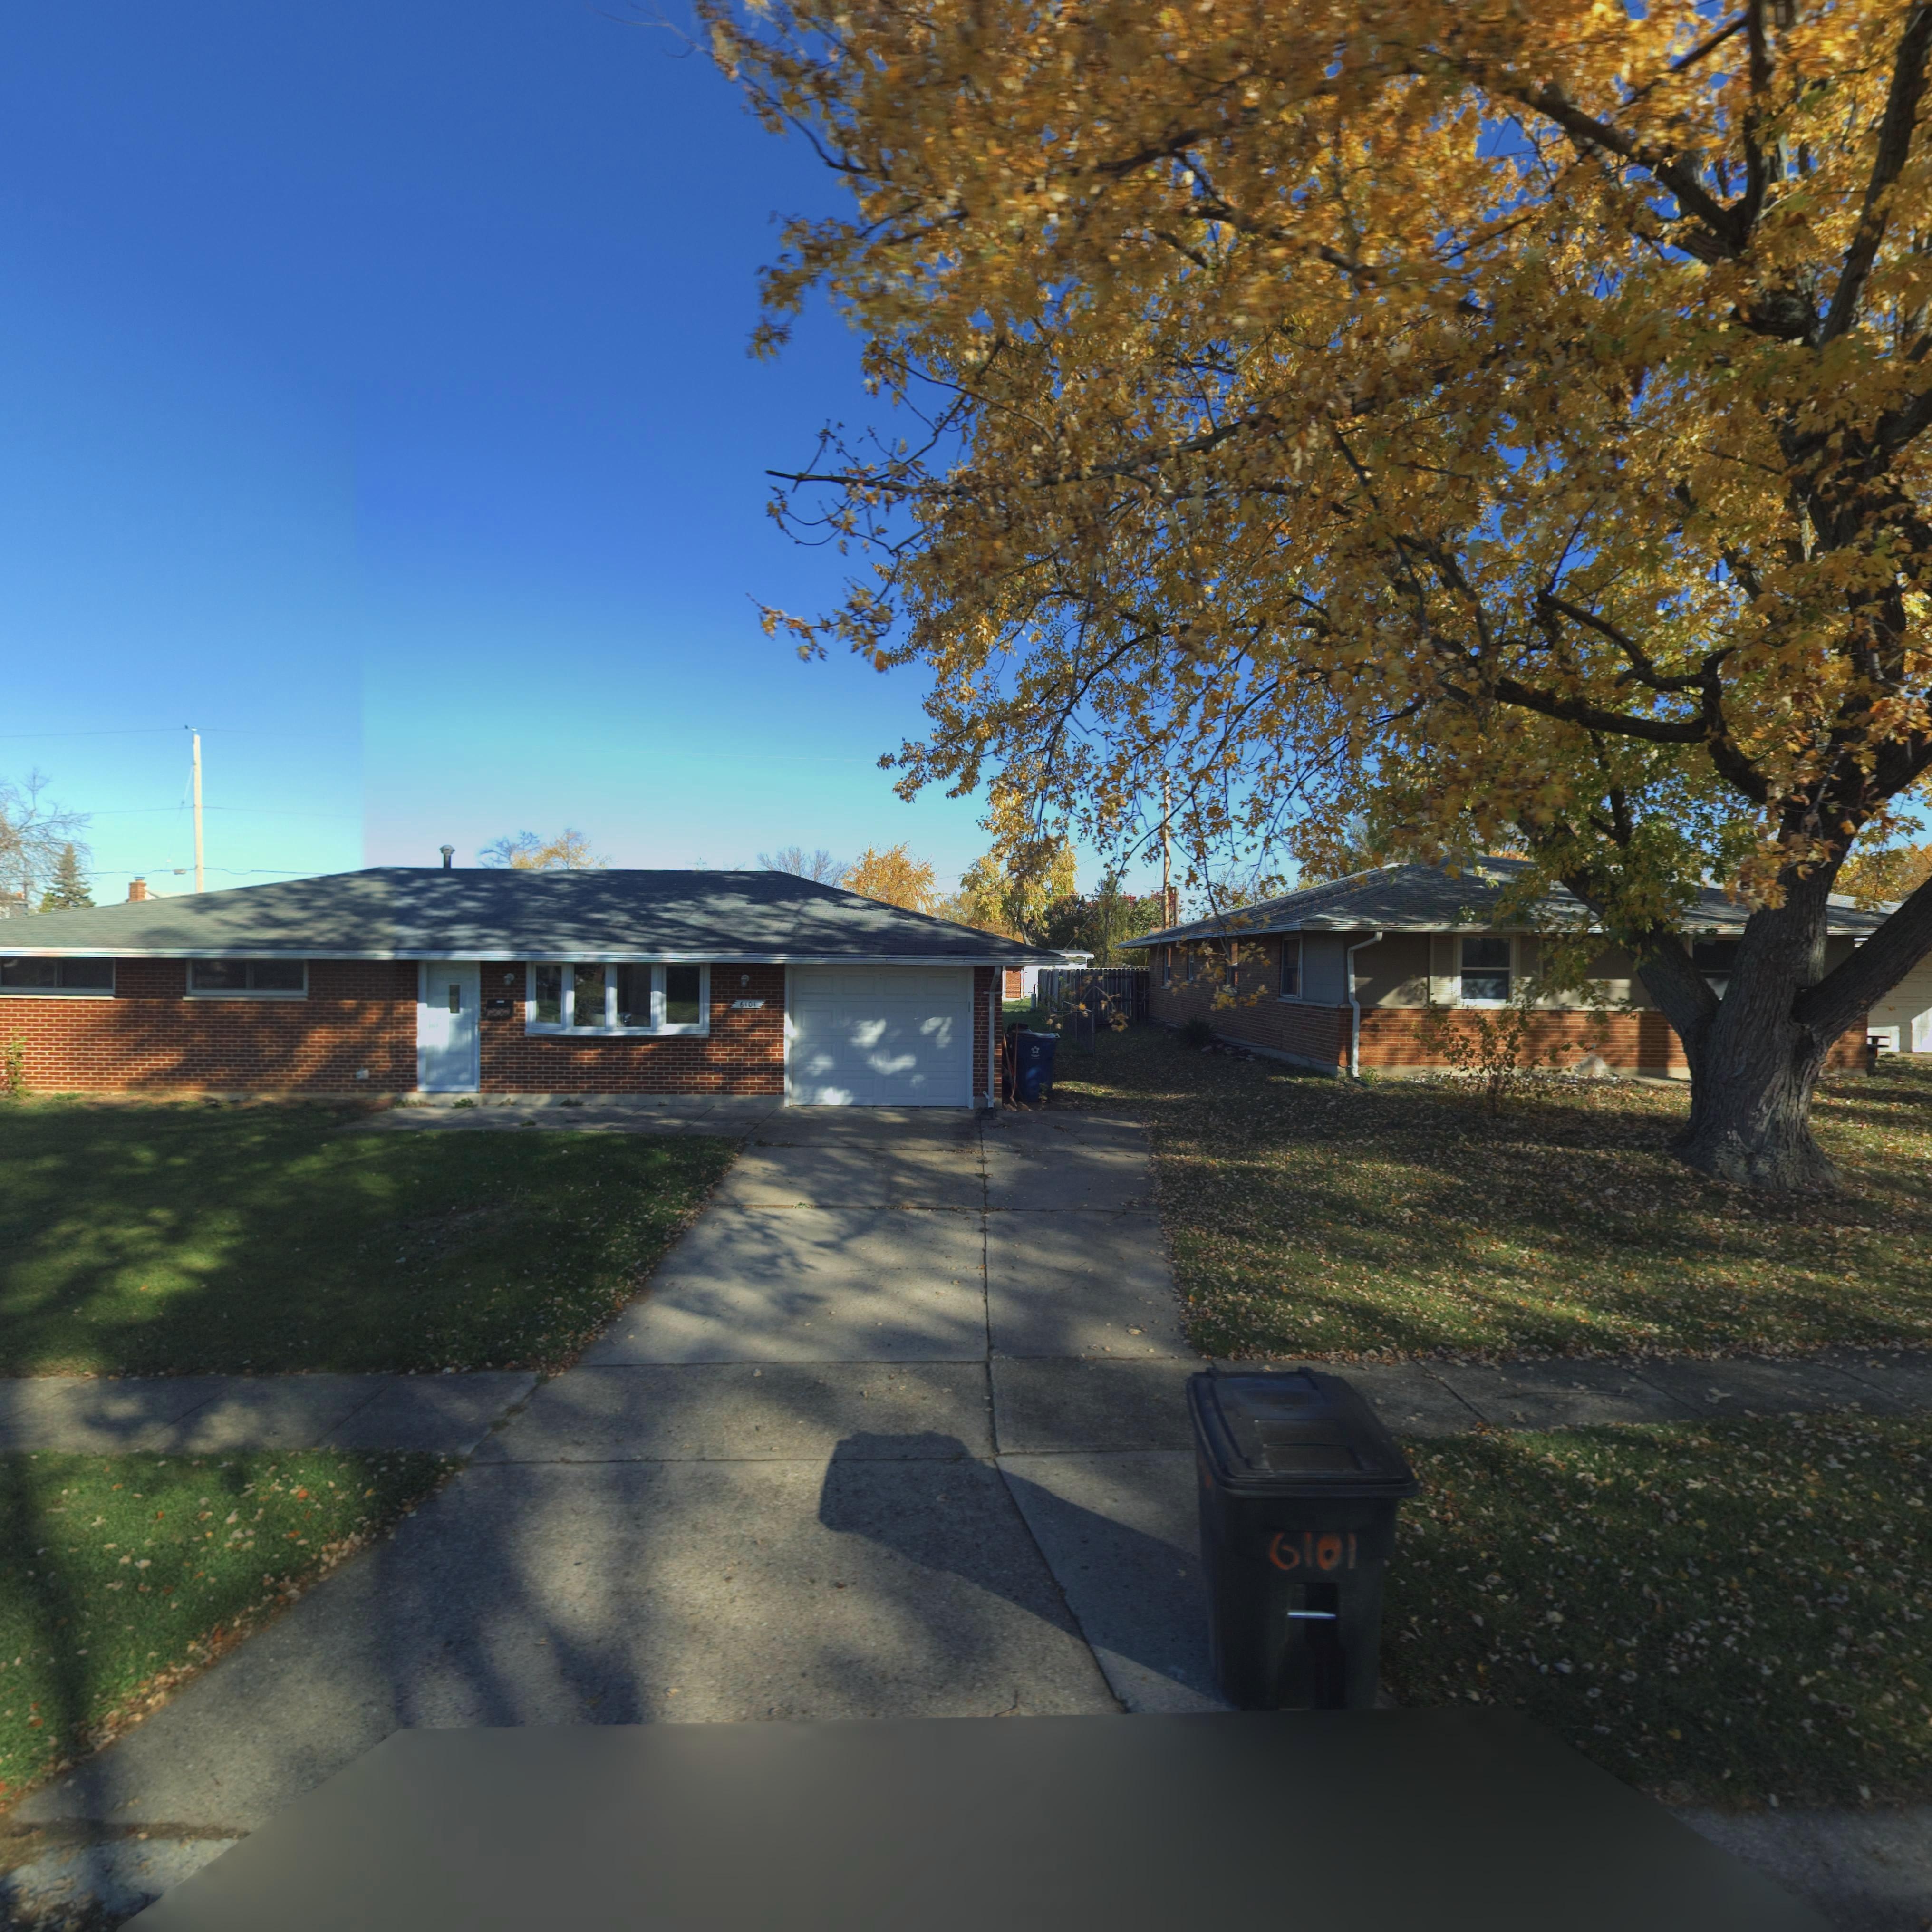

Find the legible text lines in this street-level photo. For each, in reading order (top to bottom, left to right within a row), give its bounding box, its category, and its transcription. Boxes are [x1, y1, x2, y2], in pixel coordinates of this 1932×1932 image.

[739, 1001, 757, 1008] StreetNumber: 6101
[1267, 1530, 1359, 1573] StreetNumber: 6101